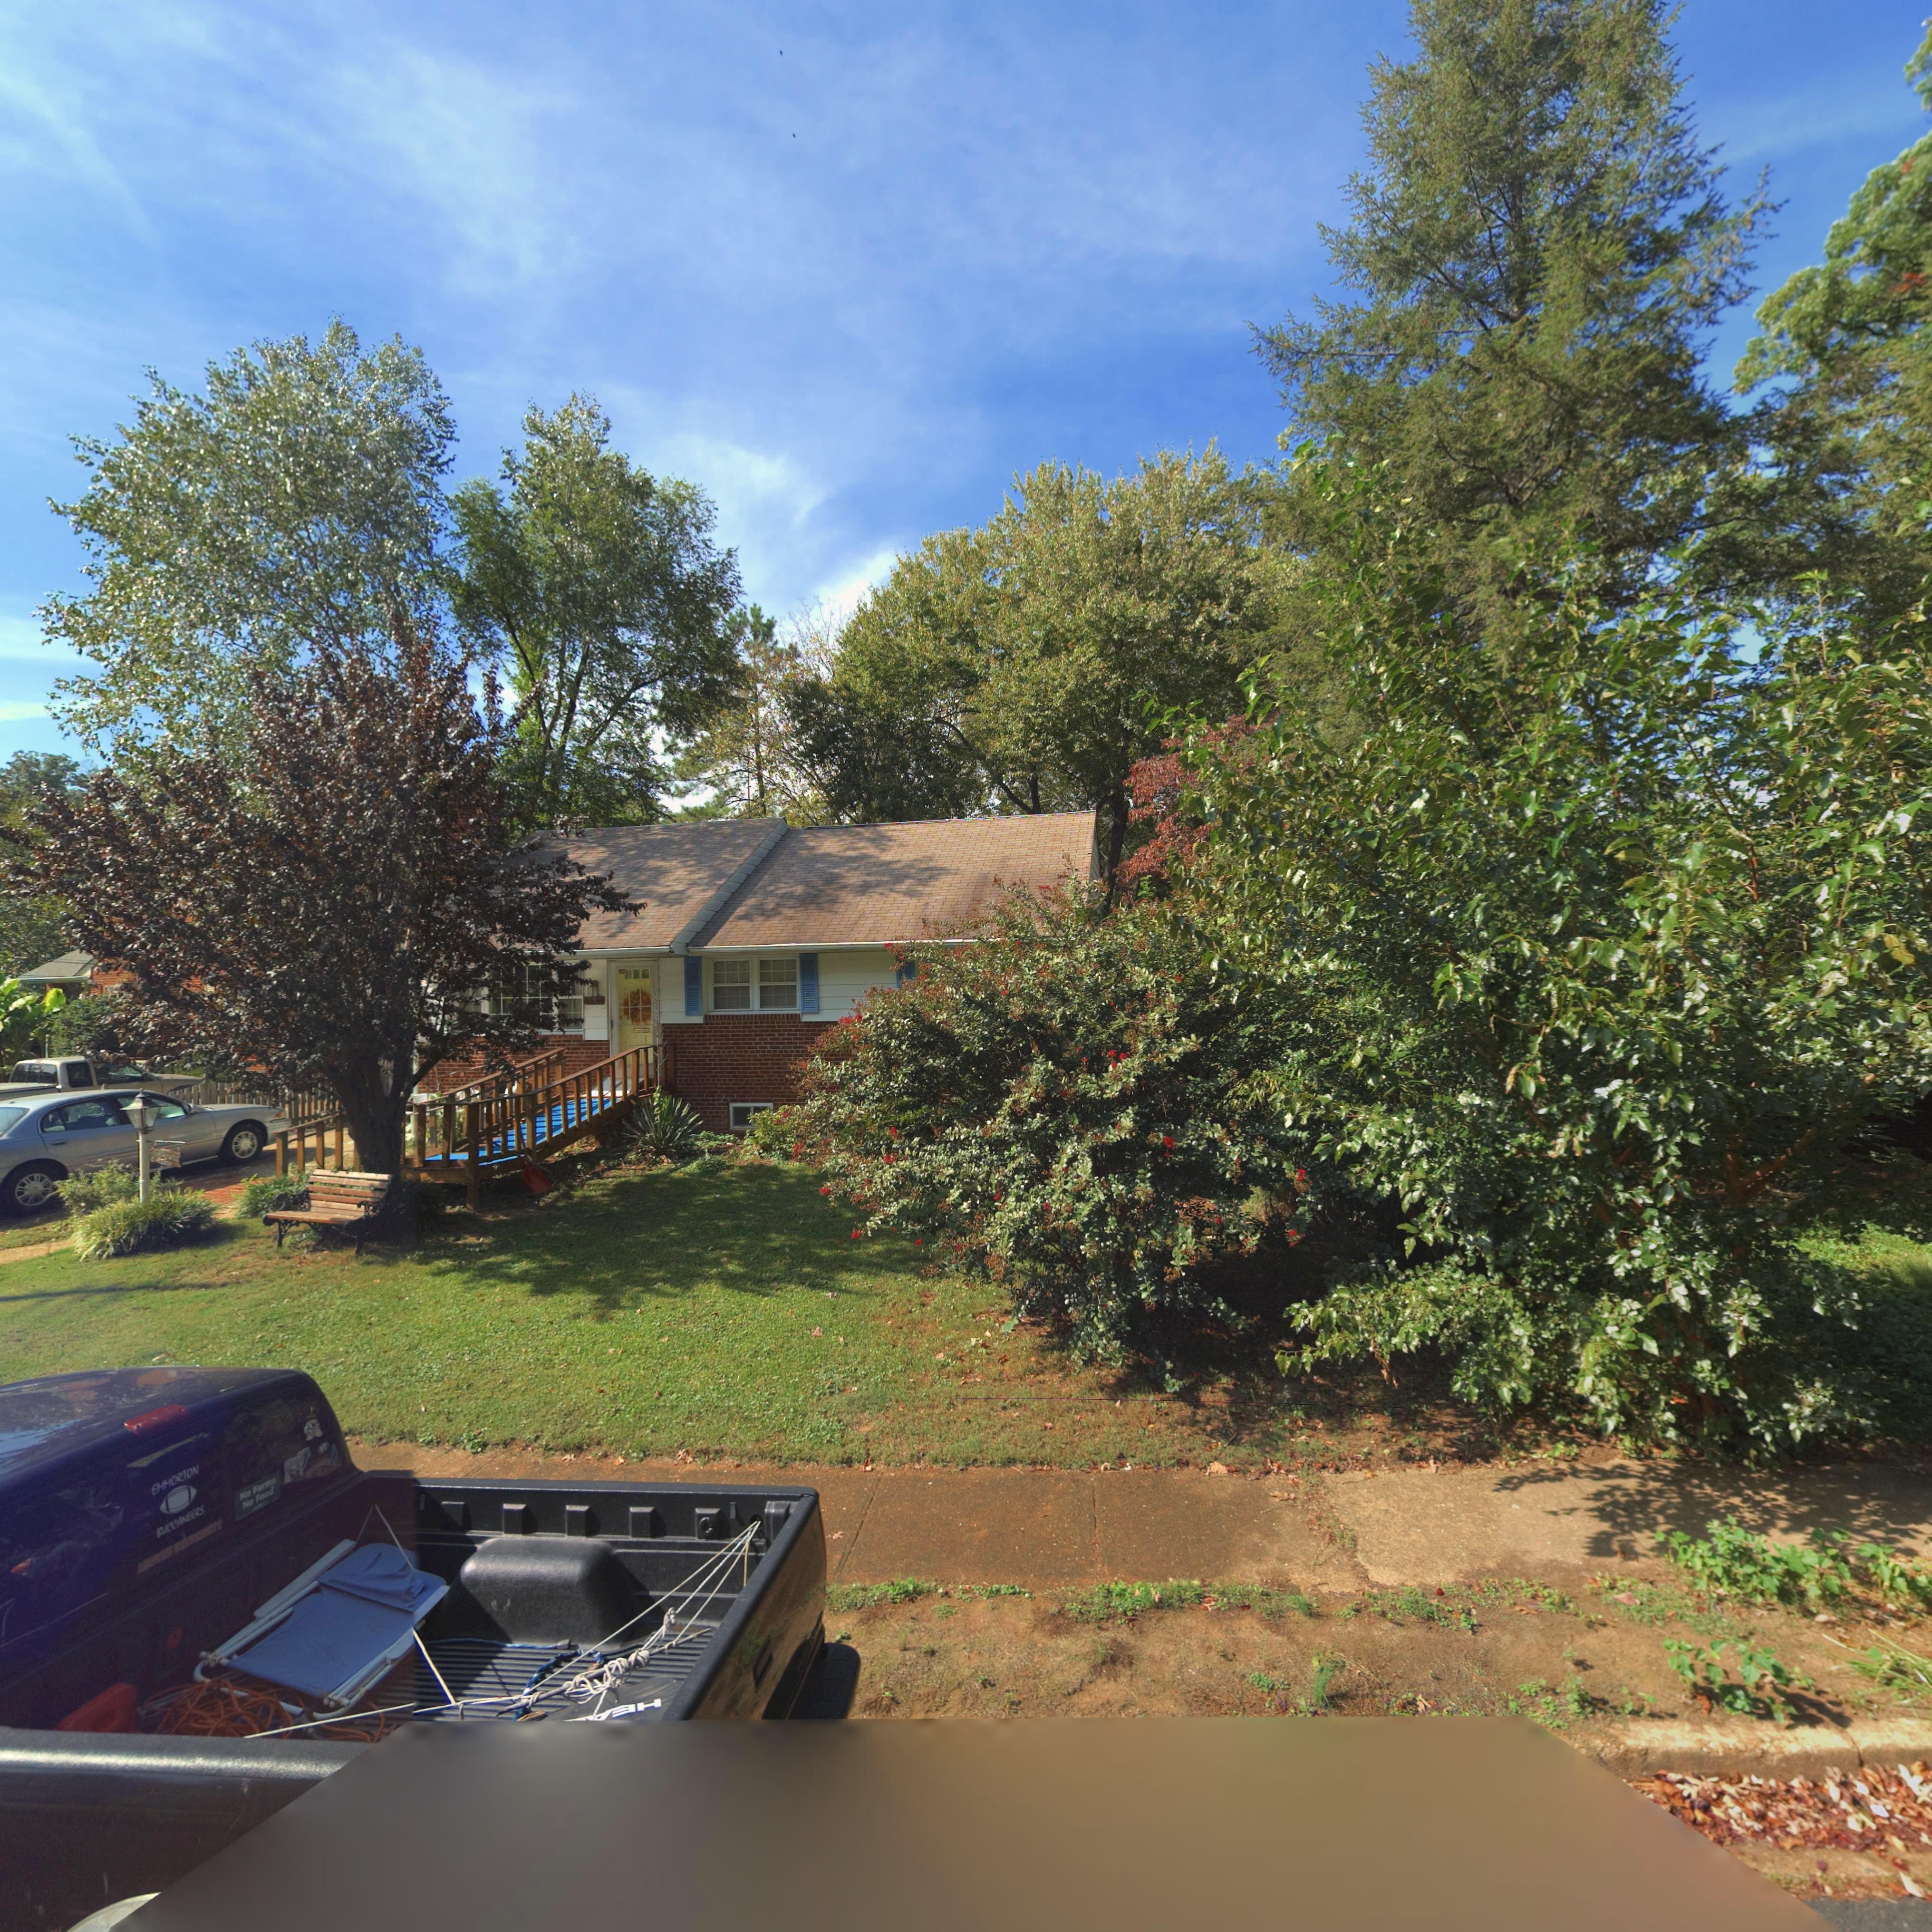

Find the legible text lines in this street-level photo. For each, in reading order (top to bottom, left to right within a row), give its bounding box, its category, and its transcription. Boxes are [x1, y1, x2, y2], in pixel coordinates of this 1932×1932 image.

[151, 1463, 200, 1496] None: EMMORTON
[239, 1476, 277, 1502] None: No Farms
[242, 1485, 275, 1511] None: No Food
[156, 1503, 205, 1540] None: BUCCANEERS